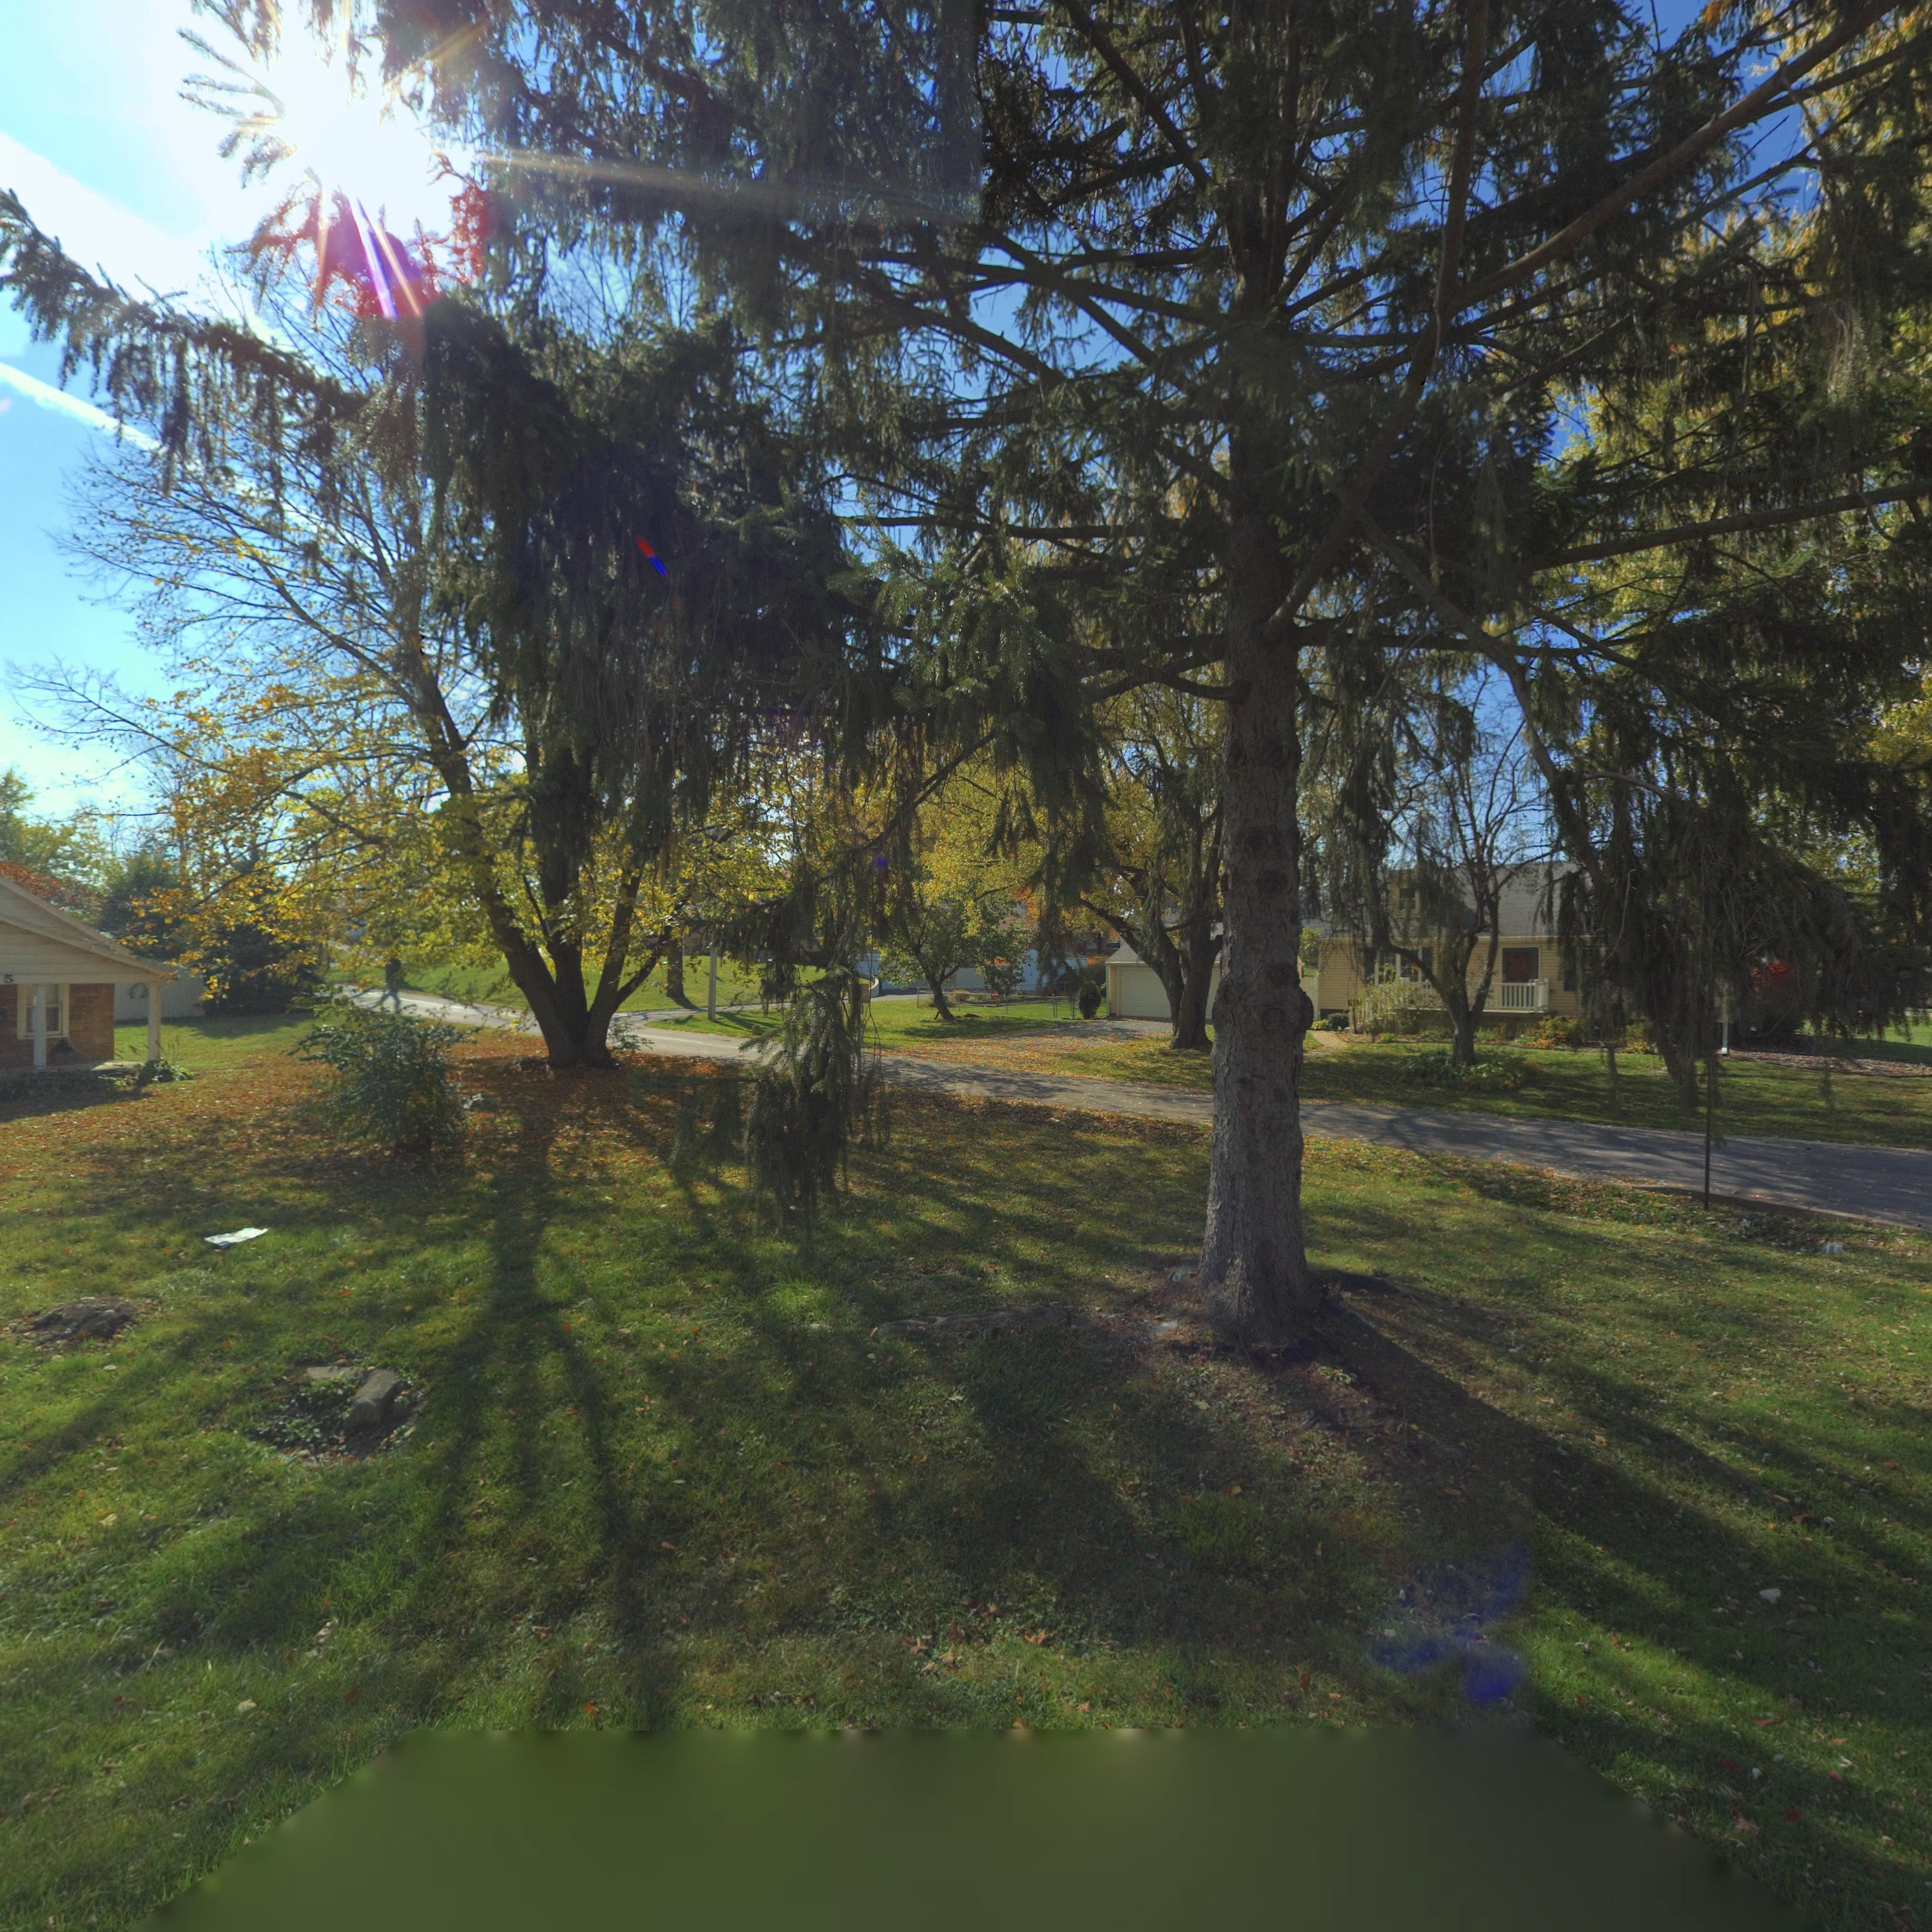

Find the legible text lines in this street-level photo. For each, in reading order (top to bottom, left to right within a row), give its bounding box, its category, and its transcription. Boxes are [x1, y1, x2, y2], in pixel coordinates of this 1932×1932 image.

[2, 973, 14, 985] StreetNumber: 5